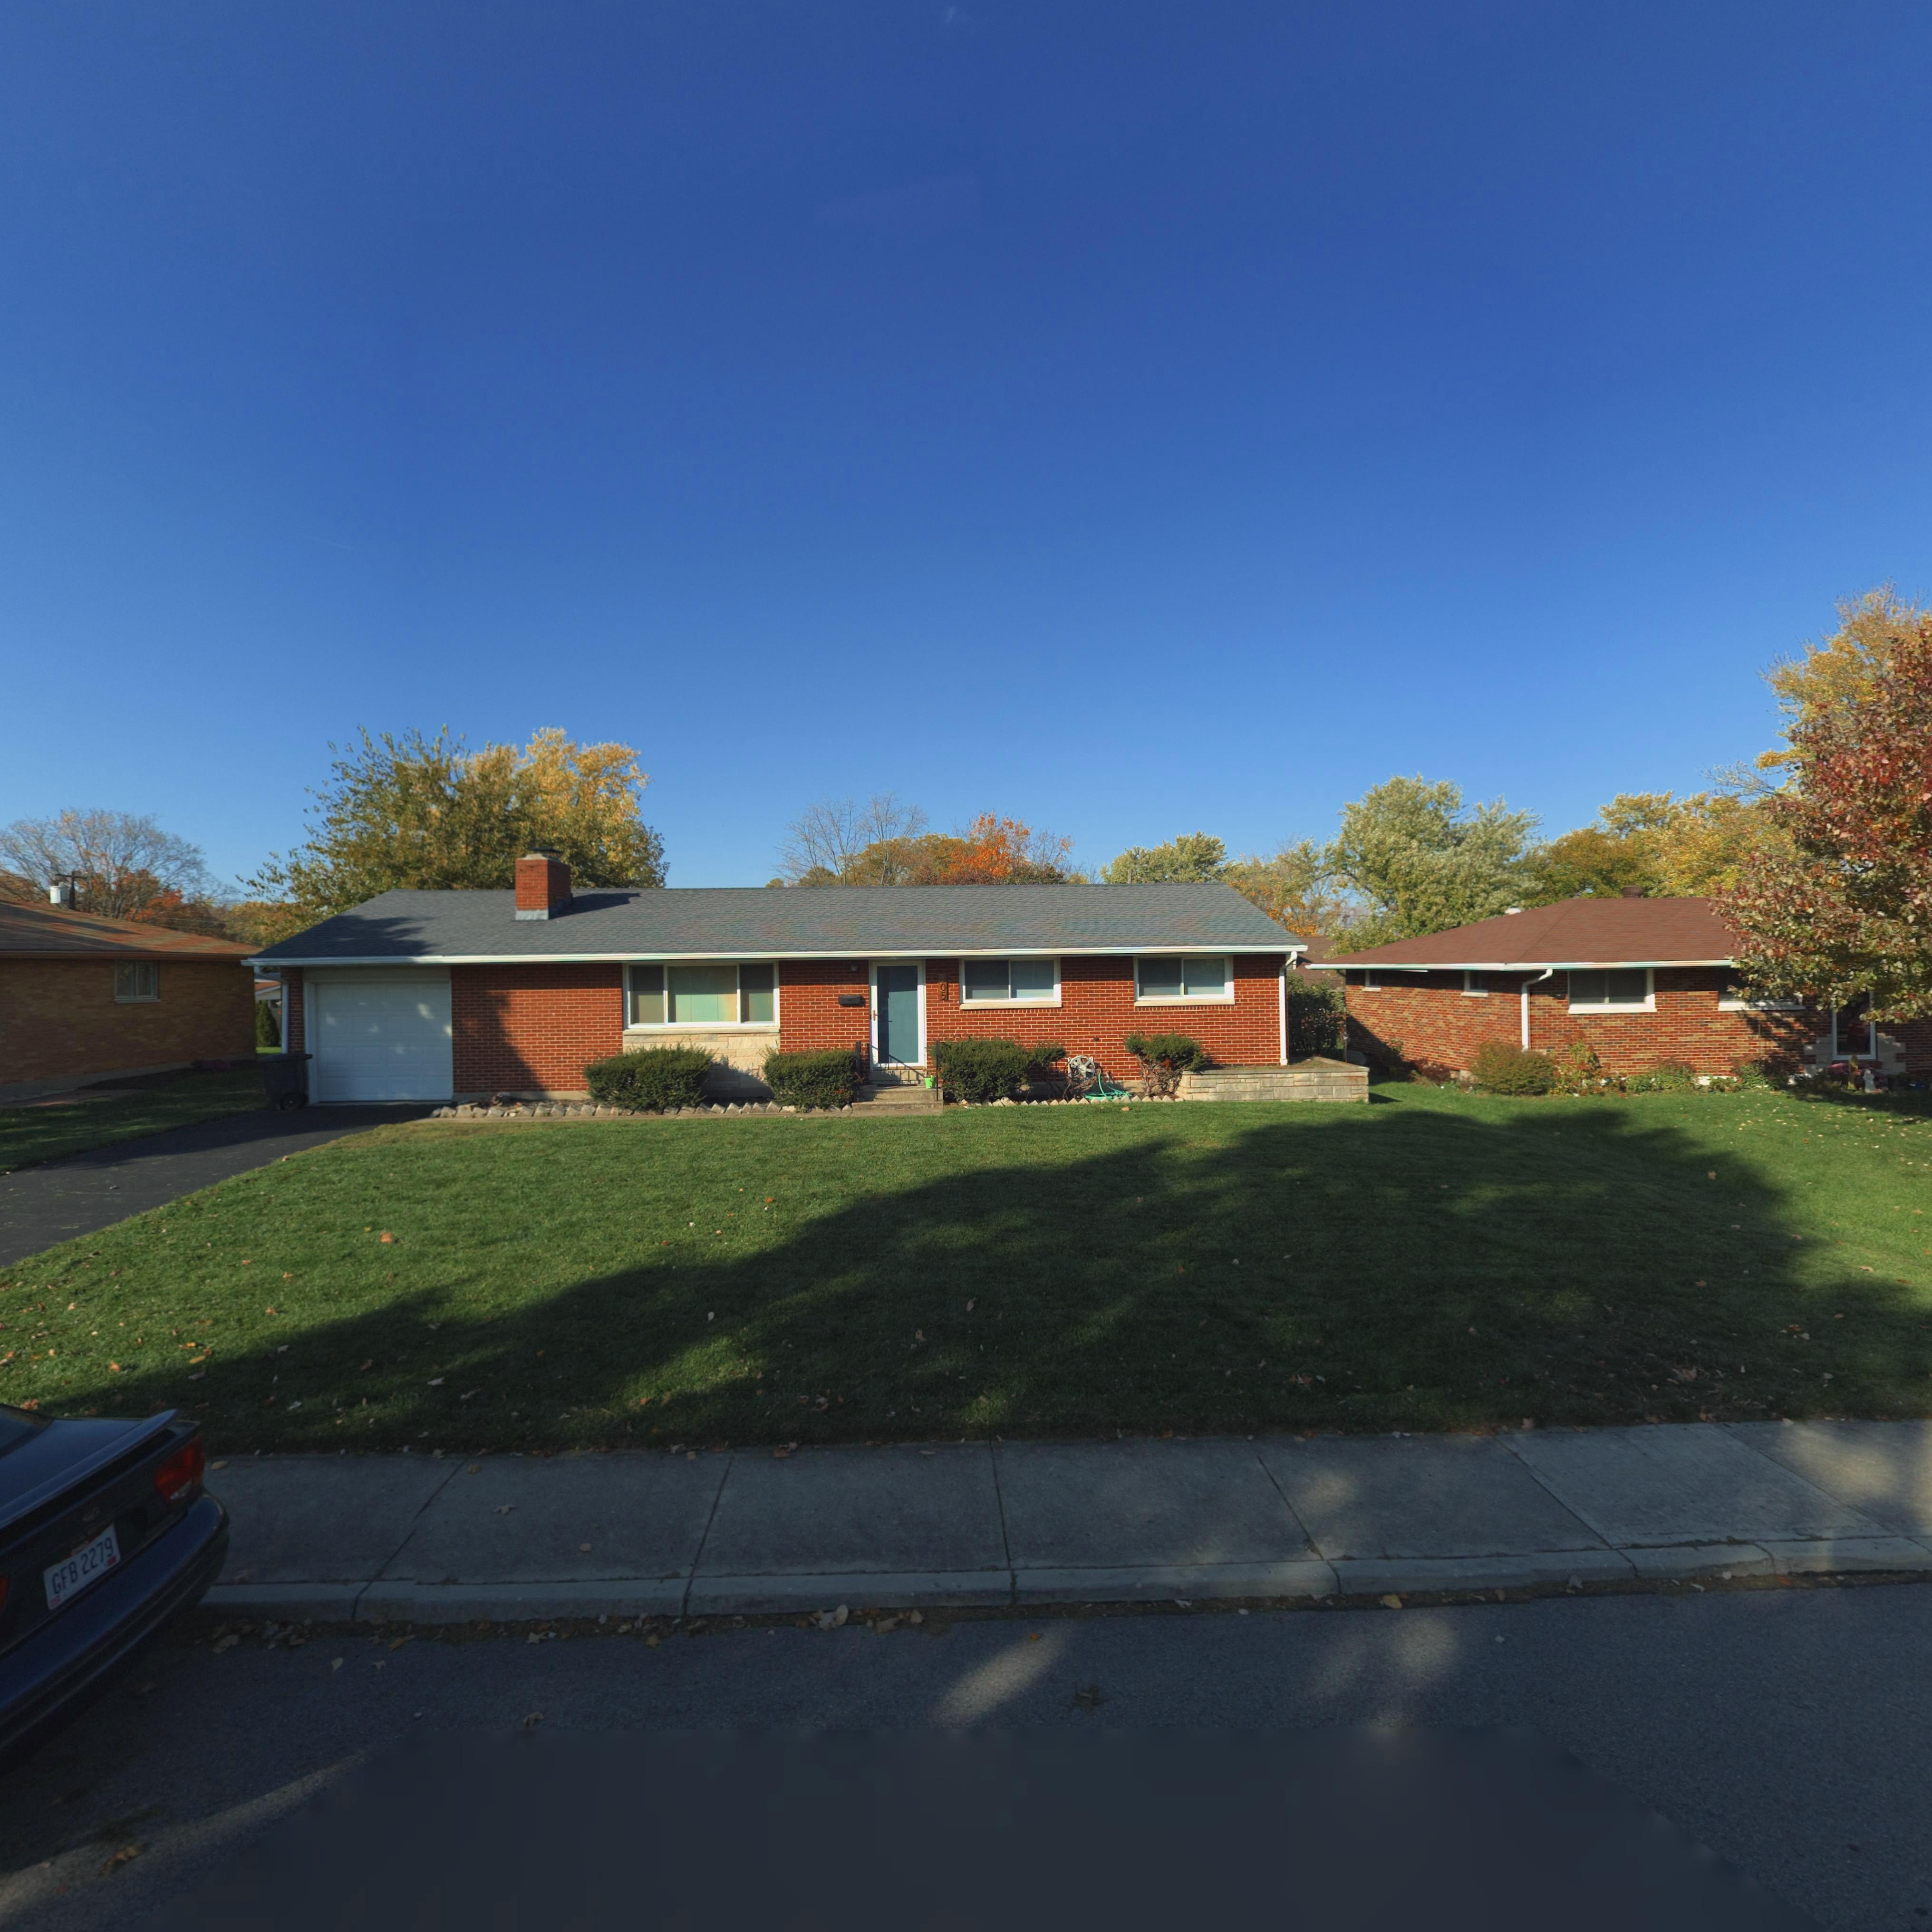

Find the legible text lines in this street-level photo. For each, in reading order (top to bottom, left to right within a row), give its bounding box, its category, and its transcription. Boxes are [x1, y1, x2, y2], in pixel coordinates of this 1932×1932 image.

[939, 974, 947, 1000] StreetNumber: 805